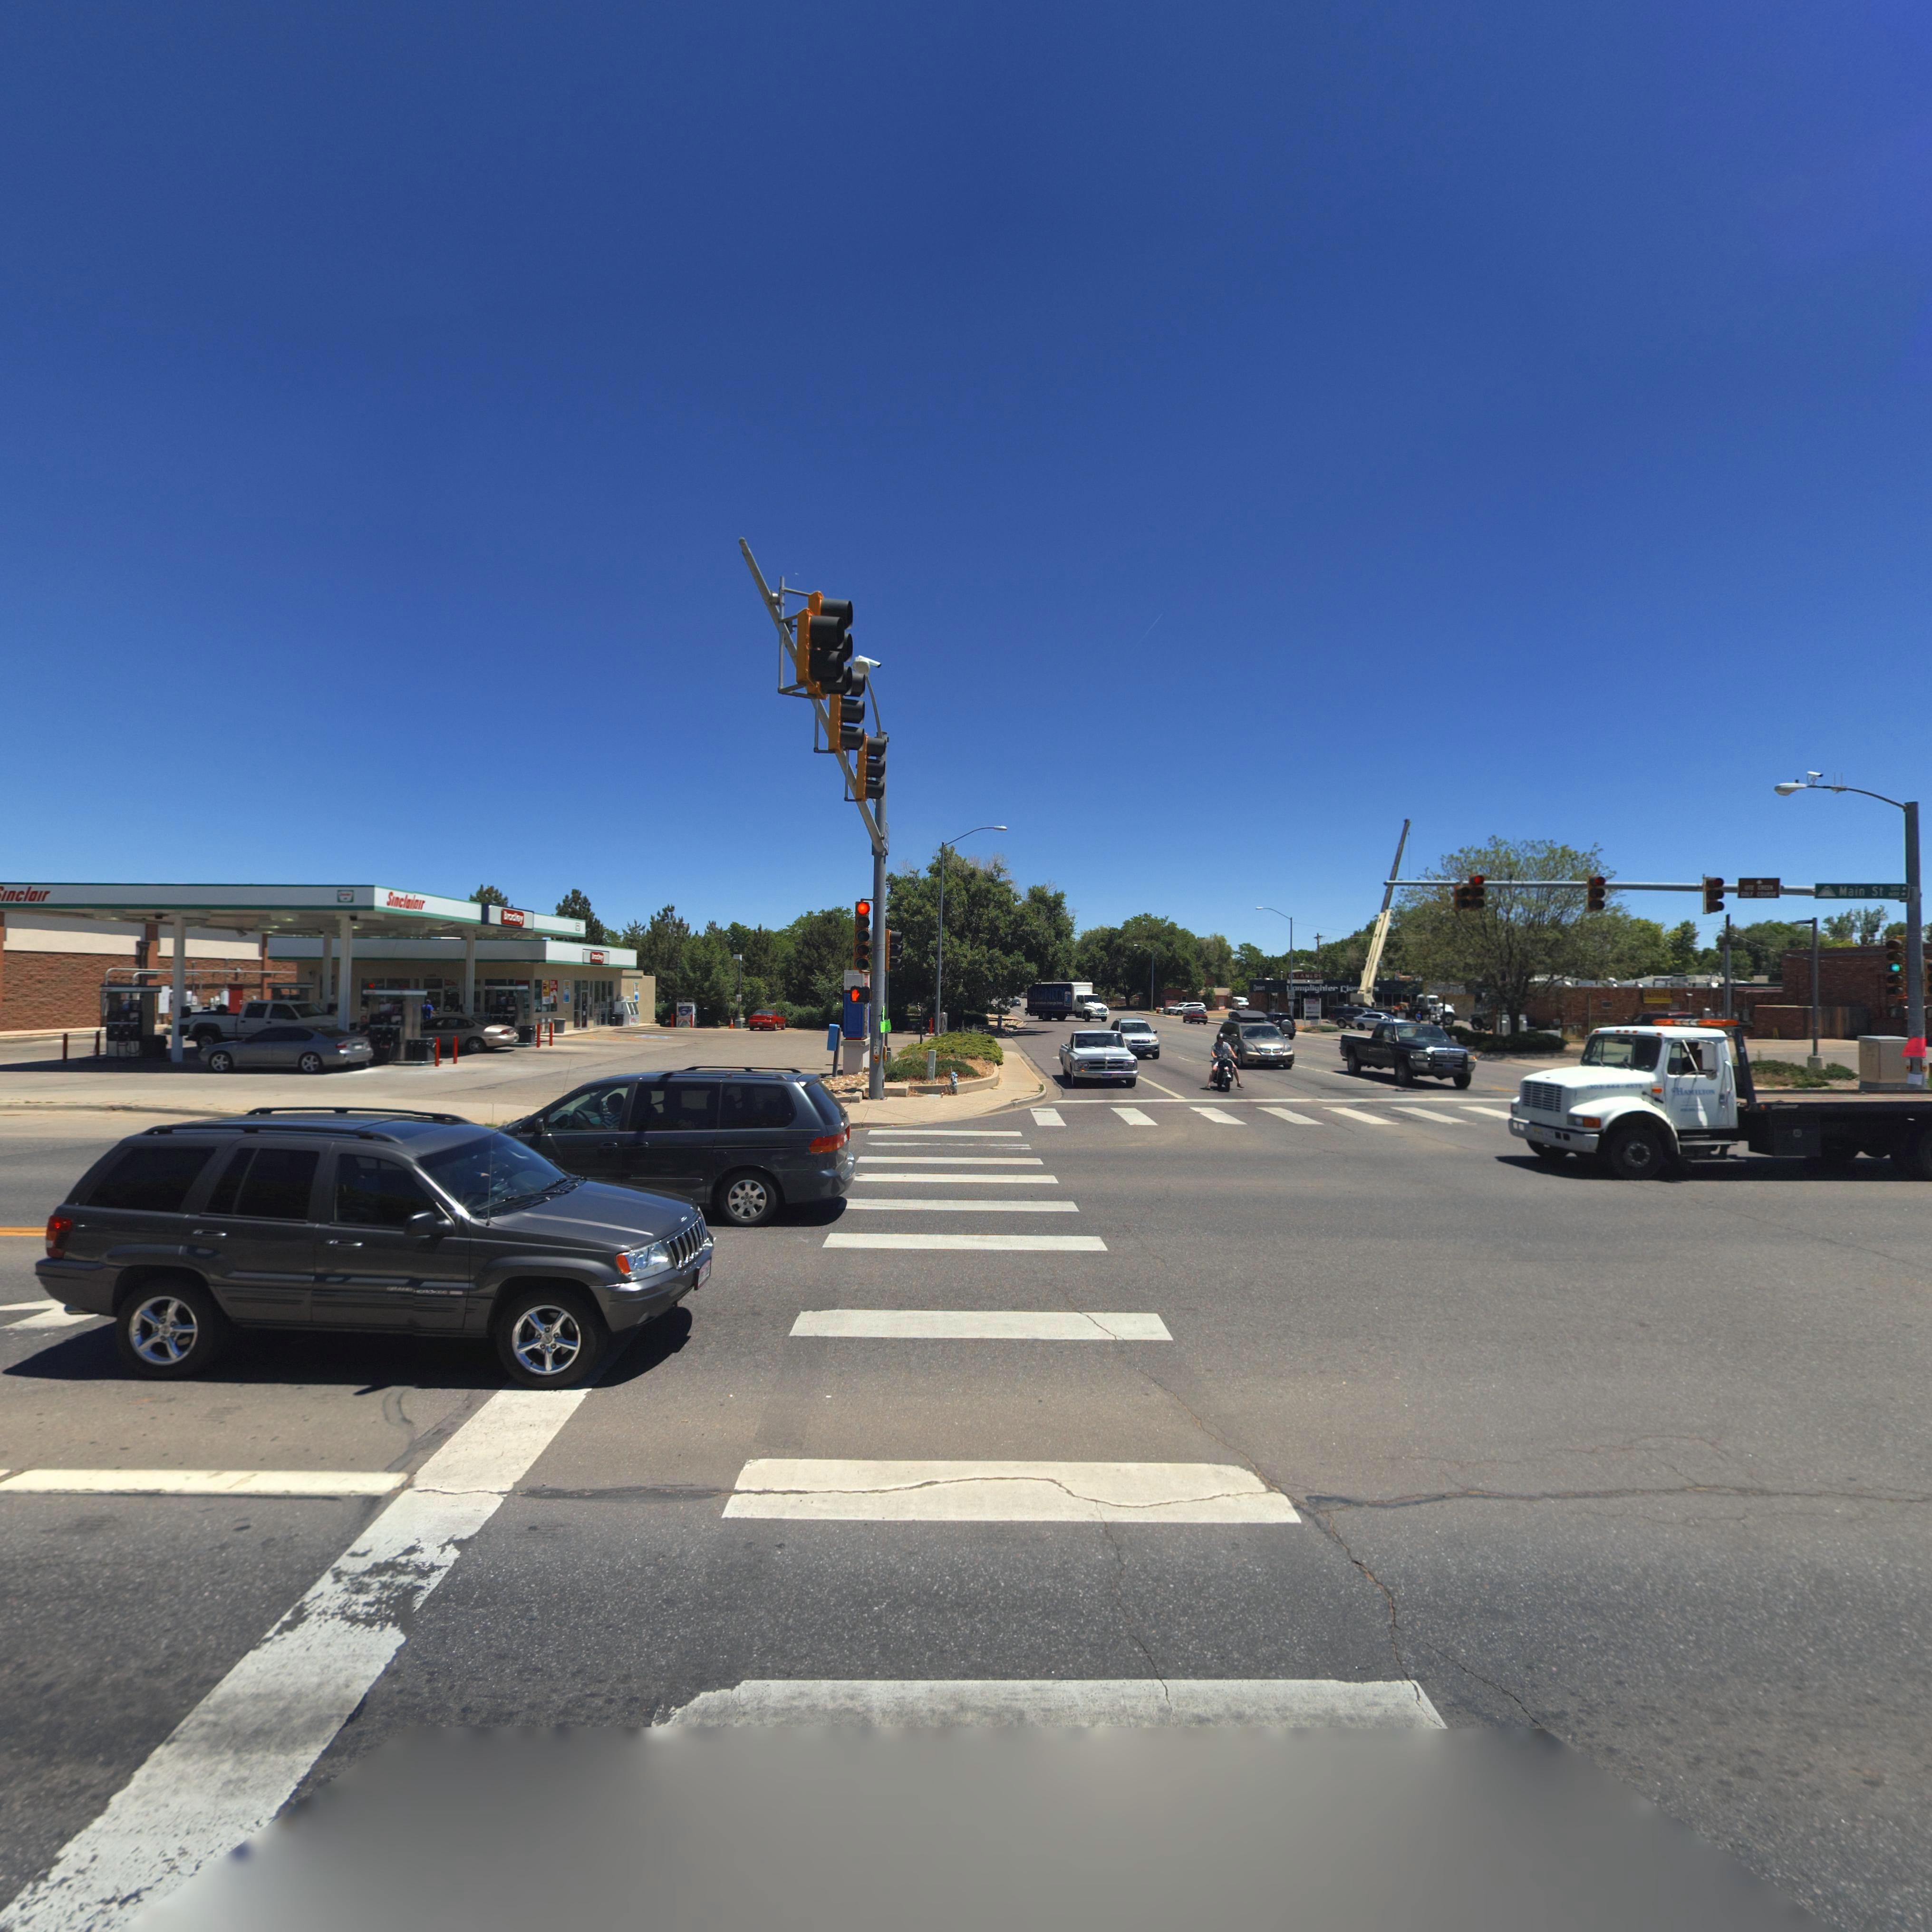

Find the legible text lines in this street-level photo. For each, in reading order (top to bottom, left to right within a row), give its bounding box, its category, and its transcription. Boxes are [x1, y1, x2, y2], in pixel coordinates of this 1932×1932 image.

[0, 885, 51, 901] BusinessName: inclair
[338, 891, 351, 896] BusinessName: S*******
[1838, 885, 1884, 896] StreetName: Main St
[1888, 891, 1906, 897] StreetNumberRange: 1*00 ->
[386, 890, 425, 910] BusinessName: Sinclailair
[503, 910, 524, 925] BusinessName: Bradley
[591, 953, 604, 962] BusinessName: B*adl*y
[1253, 984, 1265, 992] BusinessName: Cleaners
[1286, 984, 1338, 993] BusinessName: Lamplighter
[1340, 984, 1380, 994] BusinessName: Cle****s